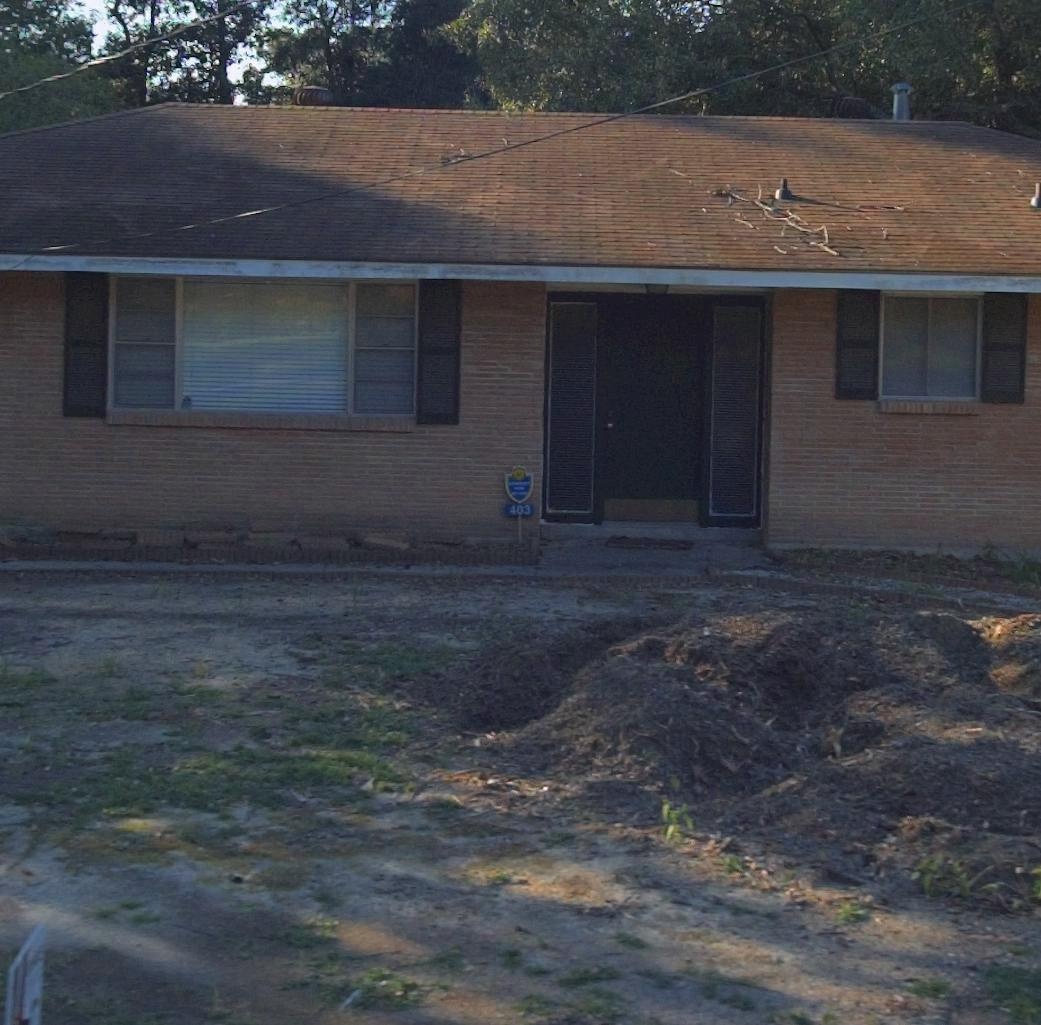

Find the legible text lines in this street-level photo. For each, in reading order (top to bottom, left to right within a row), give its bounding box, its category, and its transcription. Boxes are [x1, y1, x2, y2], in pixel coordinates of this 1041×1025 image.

[508, 503, 532, 517] StreetNumber: 403